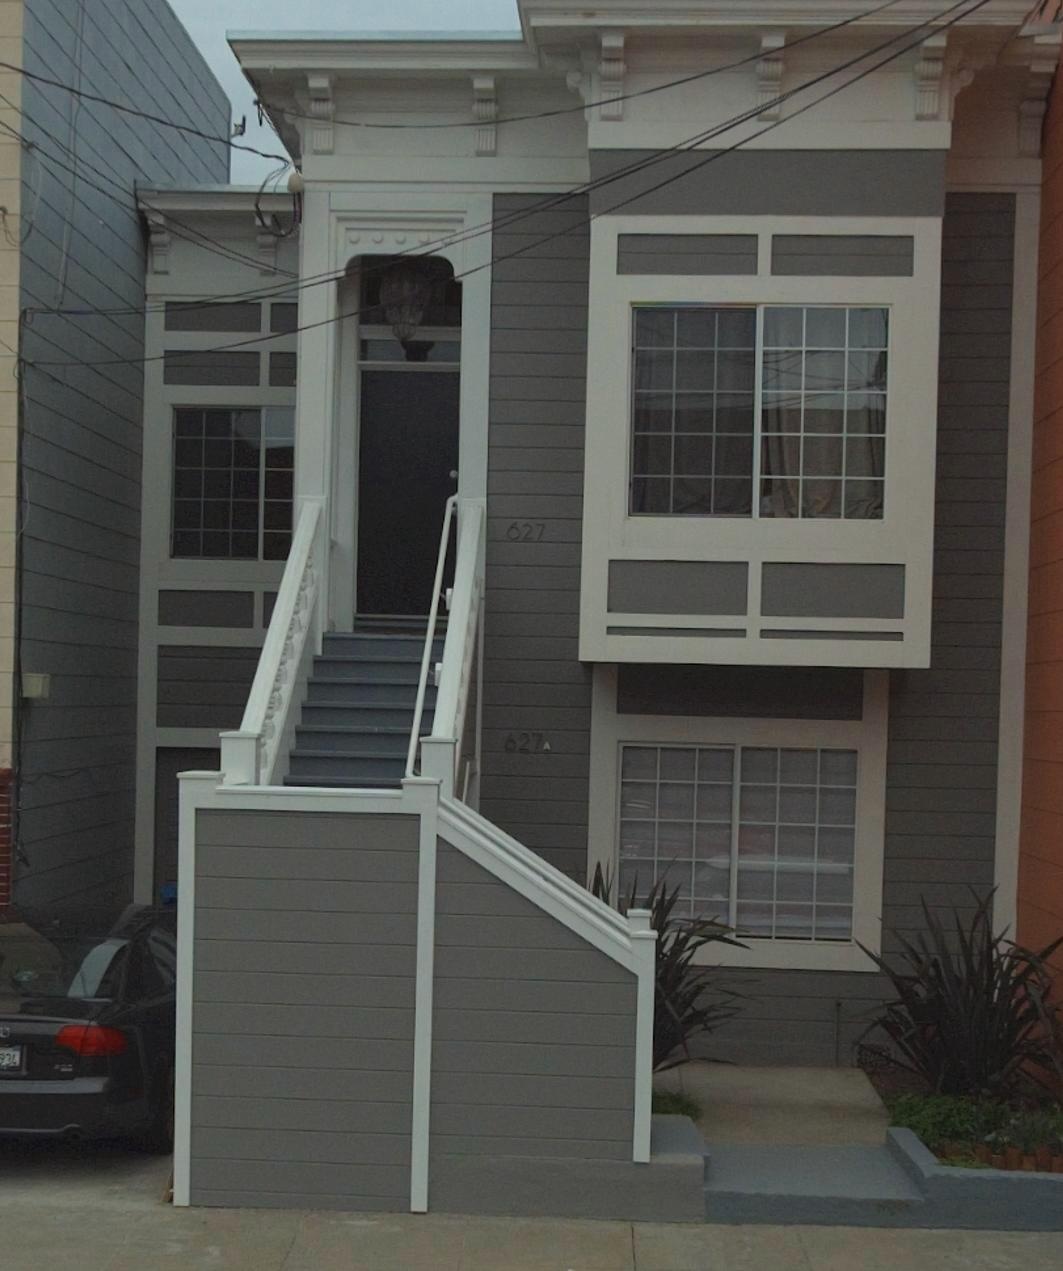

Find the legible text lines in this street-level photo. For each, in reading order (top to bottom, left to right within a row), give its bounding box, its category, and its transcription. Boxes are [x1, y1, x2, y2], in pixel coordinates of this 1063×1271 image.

[505, 521, 548, 541] StreetNumber: 627
[503, 732, 554, 752] StreetNumber: 627A
[4, 1052, 18, 1067] None: 34